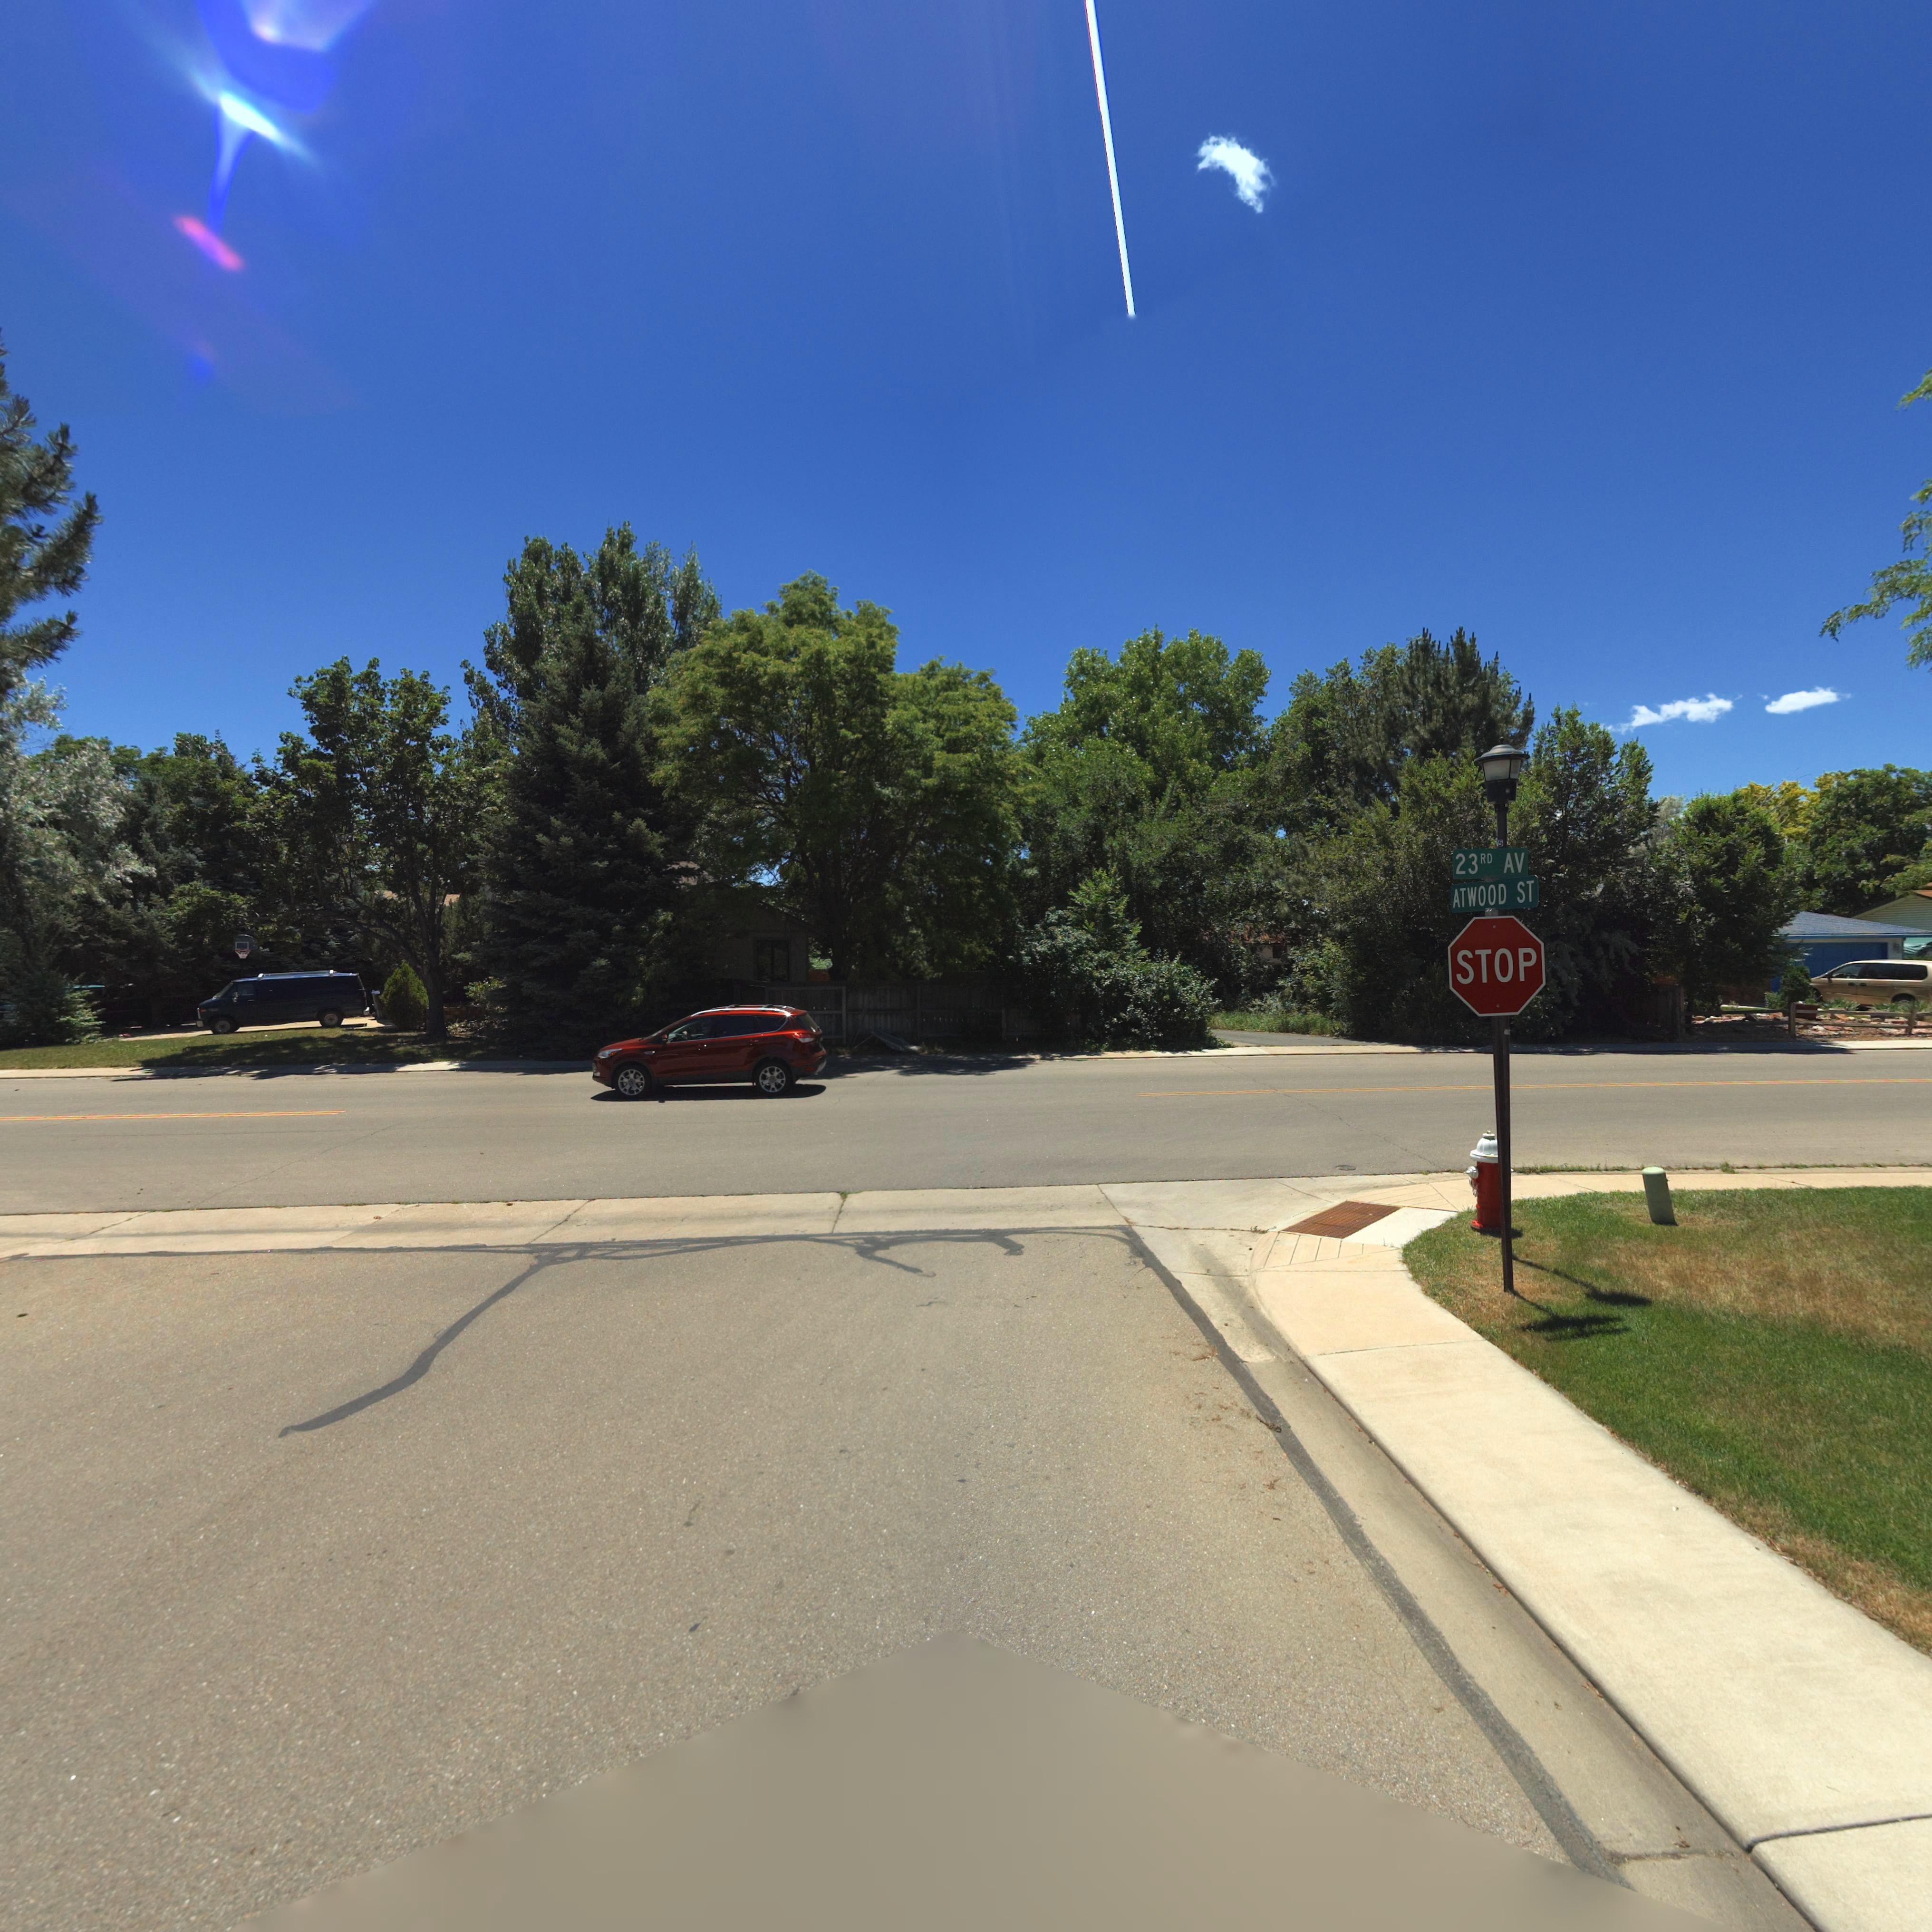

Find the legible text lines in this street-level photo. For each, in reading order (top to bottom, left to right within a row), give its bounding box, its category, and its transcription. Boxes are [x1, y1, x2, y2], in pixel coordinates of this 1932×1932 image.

[1454, 850, 1527, 876] StreetName: 23RD AV
[1451, 879, 1536, 909] StreetName: ATWOOD ST
[1456, 947, 1537, 984] BusinessName: STOP